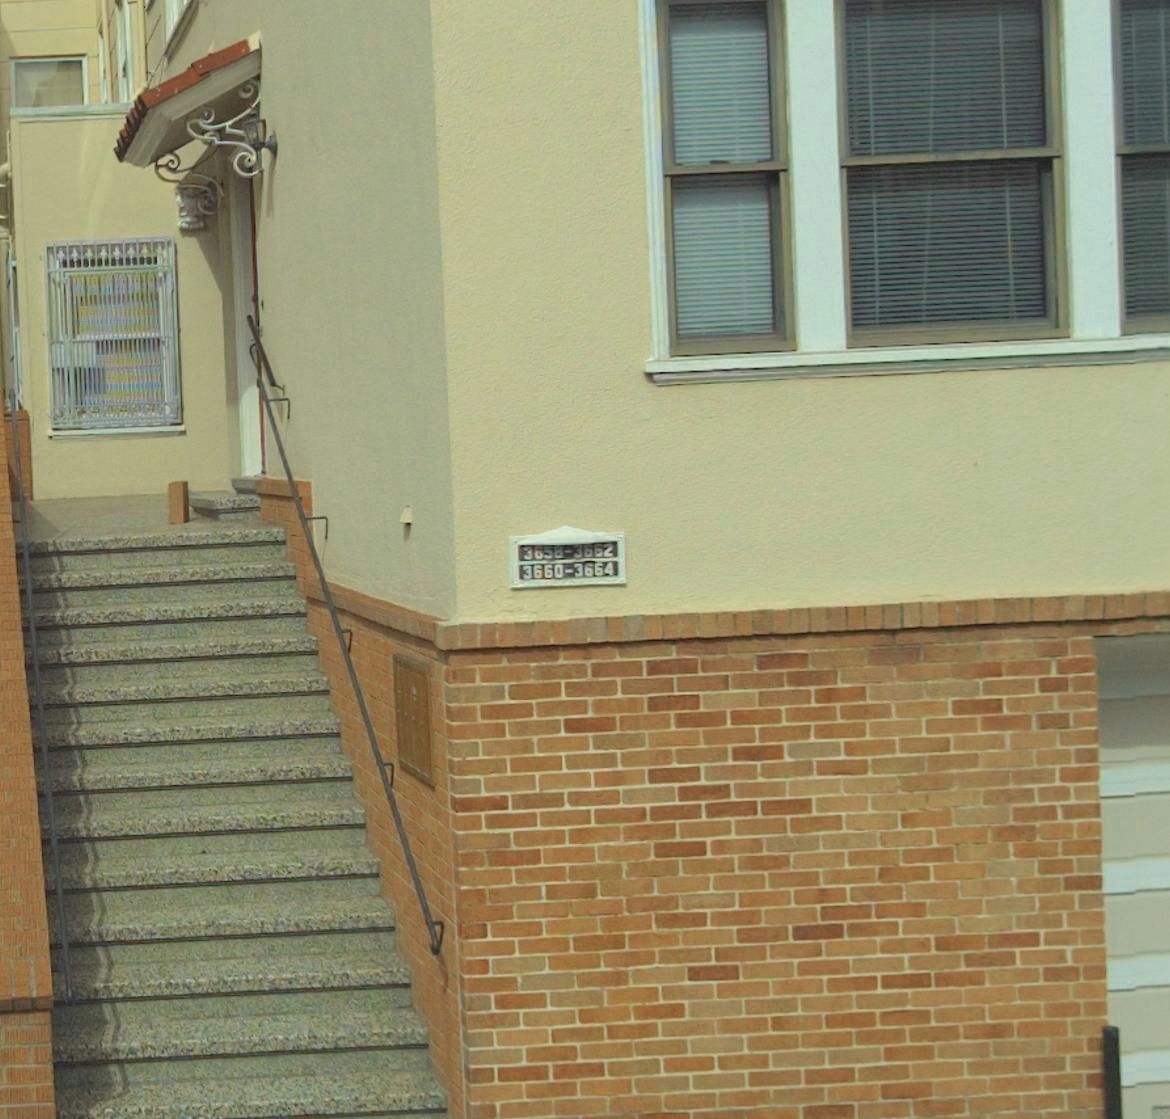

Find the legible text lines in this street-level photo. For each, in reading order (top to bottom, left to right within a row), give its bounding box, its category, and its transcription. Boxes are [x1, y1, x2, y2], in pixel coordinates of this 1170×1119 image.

[522, 545, 564, 561] StreetNumber: 3658
[572, 543, 615, 558] StreetNumber: 3662
[522, 563, 563, 578] StreetNumber: 3660
[571, 560, 615, 576] StreetNumber: 3664